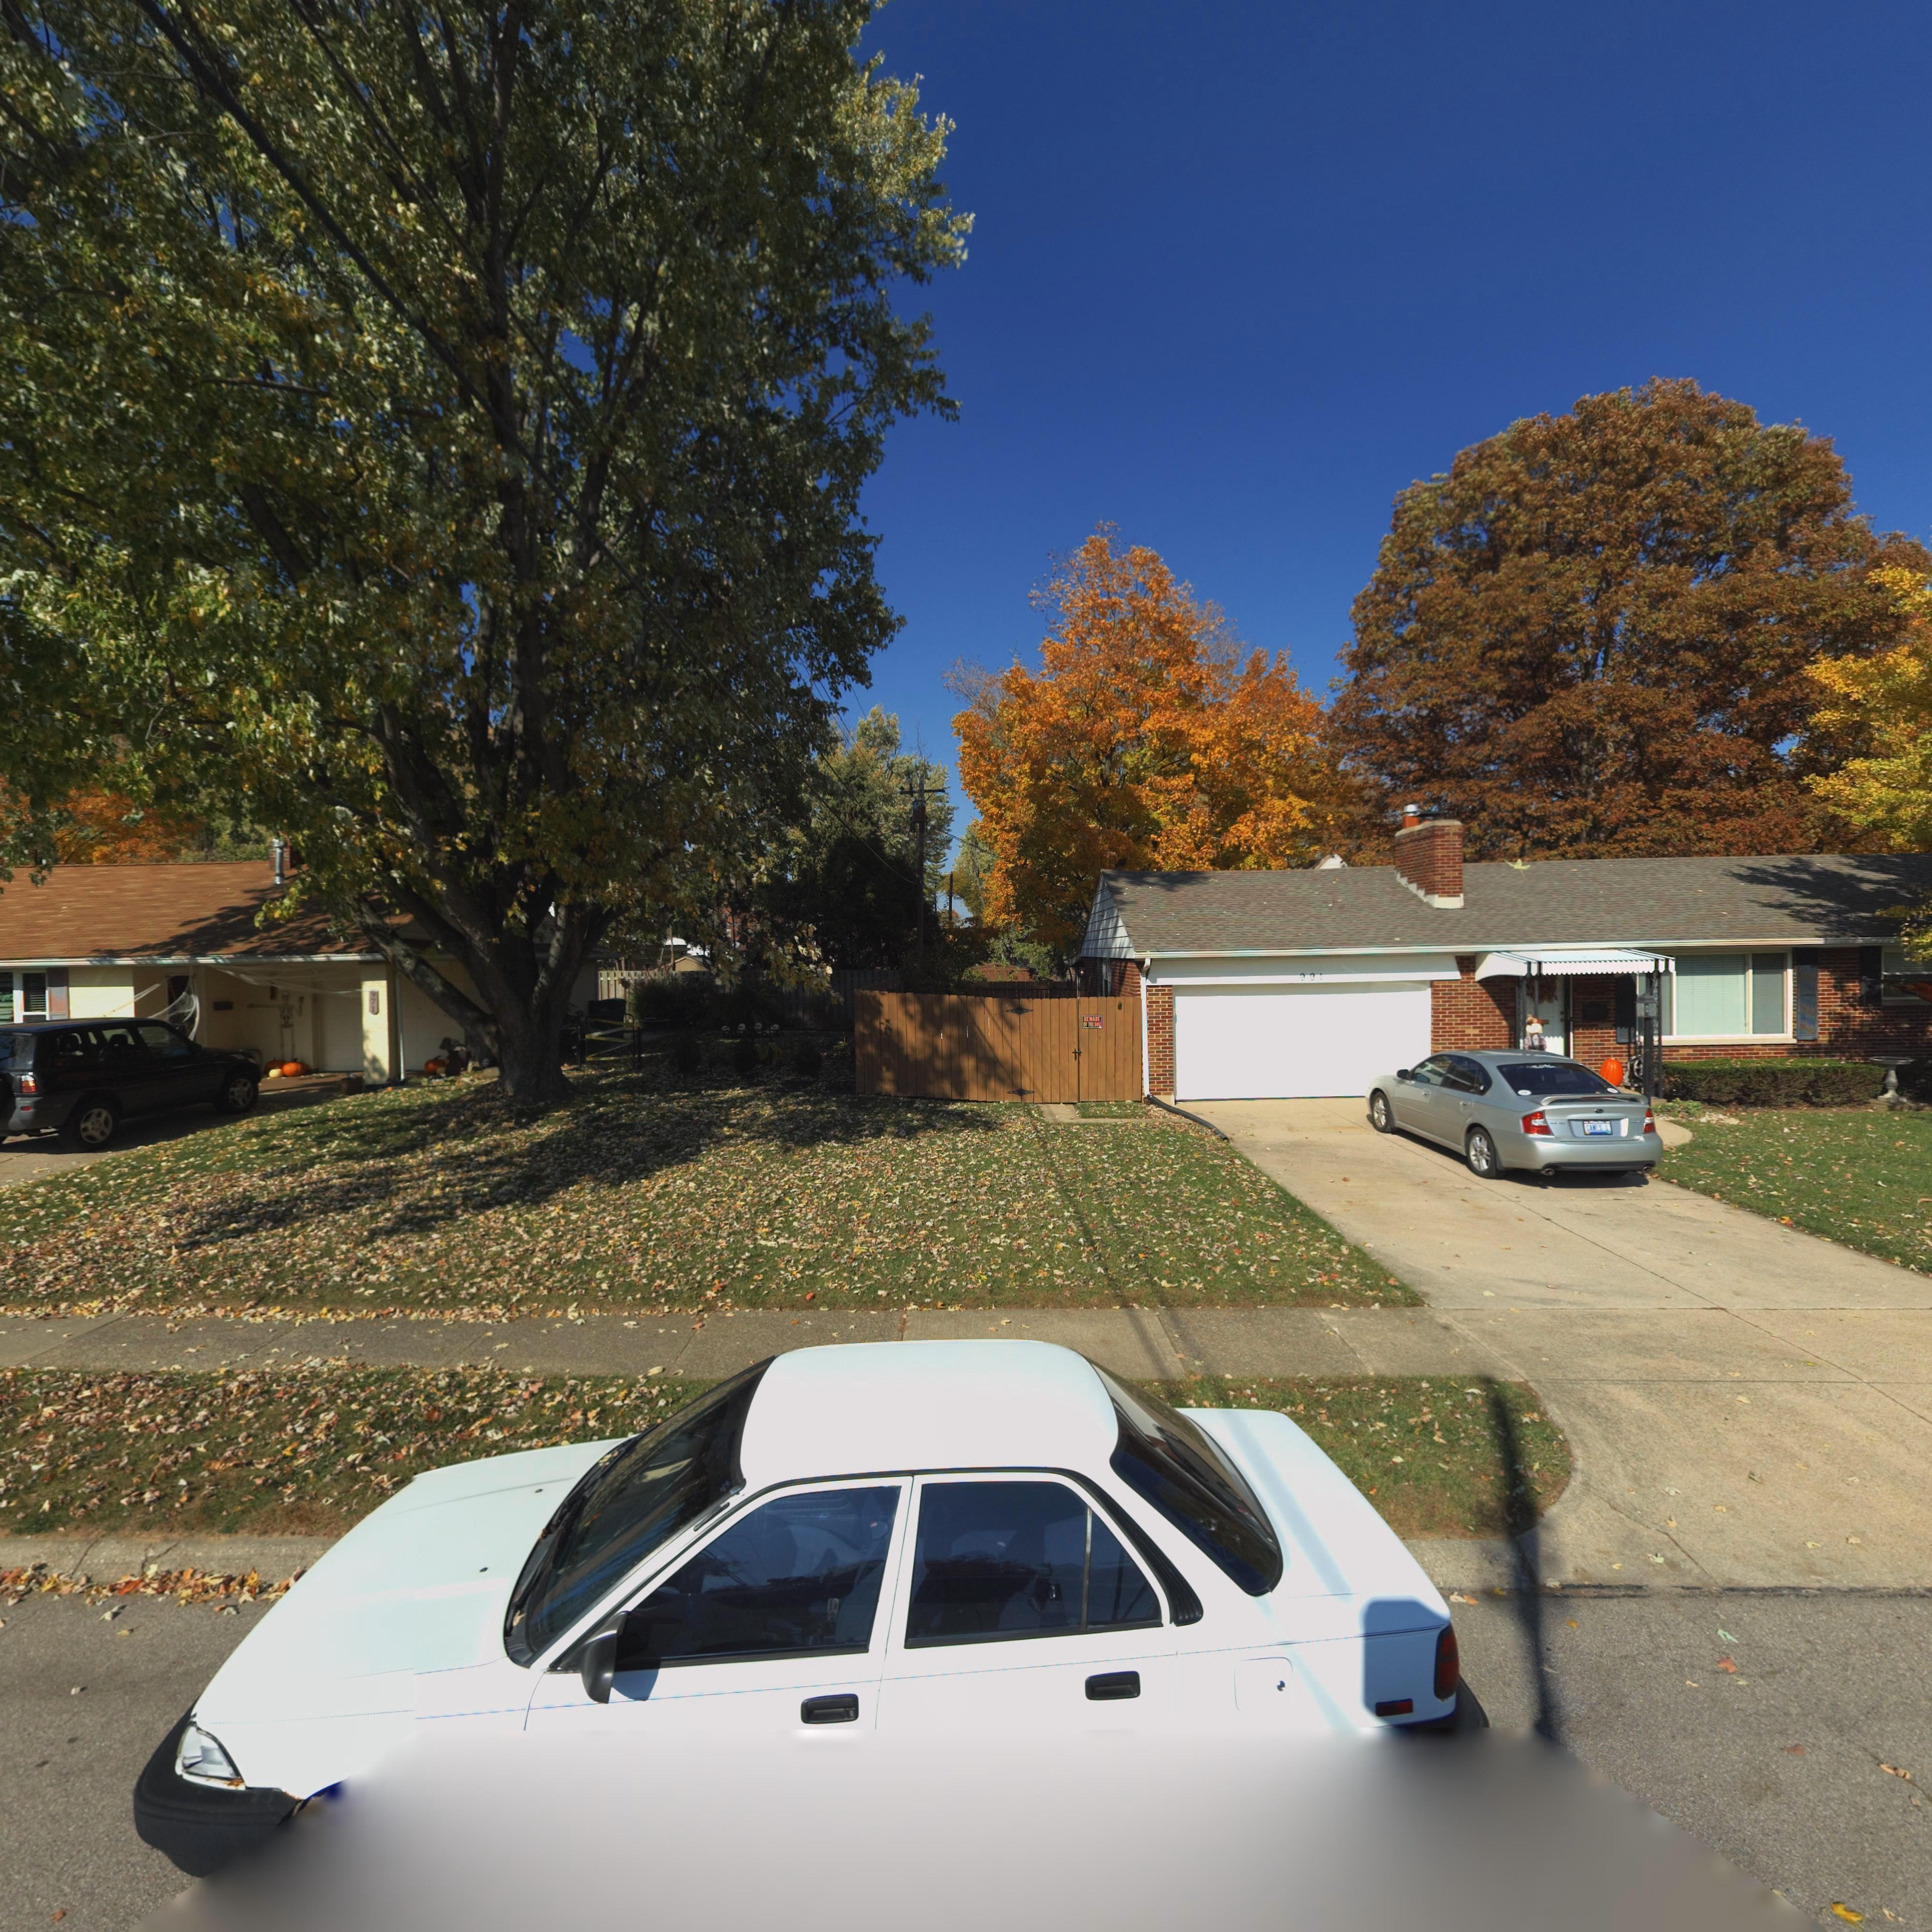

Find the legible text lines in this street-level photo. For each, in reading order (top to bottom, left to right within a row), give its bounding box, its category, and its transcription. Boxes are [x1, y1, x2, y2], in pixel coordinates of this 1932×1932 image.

[1298, 971, 1324, 983] StreetNumber: 991
[370, 990, 377, 1014] StreetNumber: 971
[1083, 1015, 1101, 1023] None: BE ***E
[1082, 1022, 1102, 1028] None: ** T** *** 
[1584, 1123, 1610, 1133] None: CA*ES 1